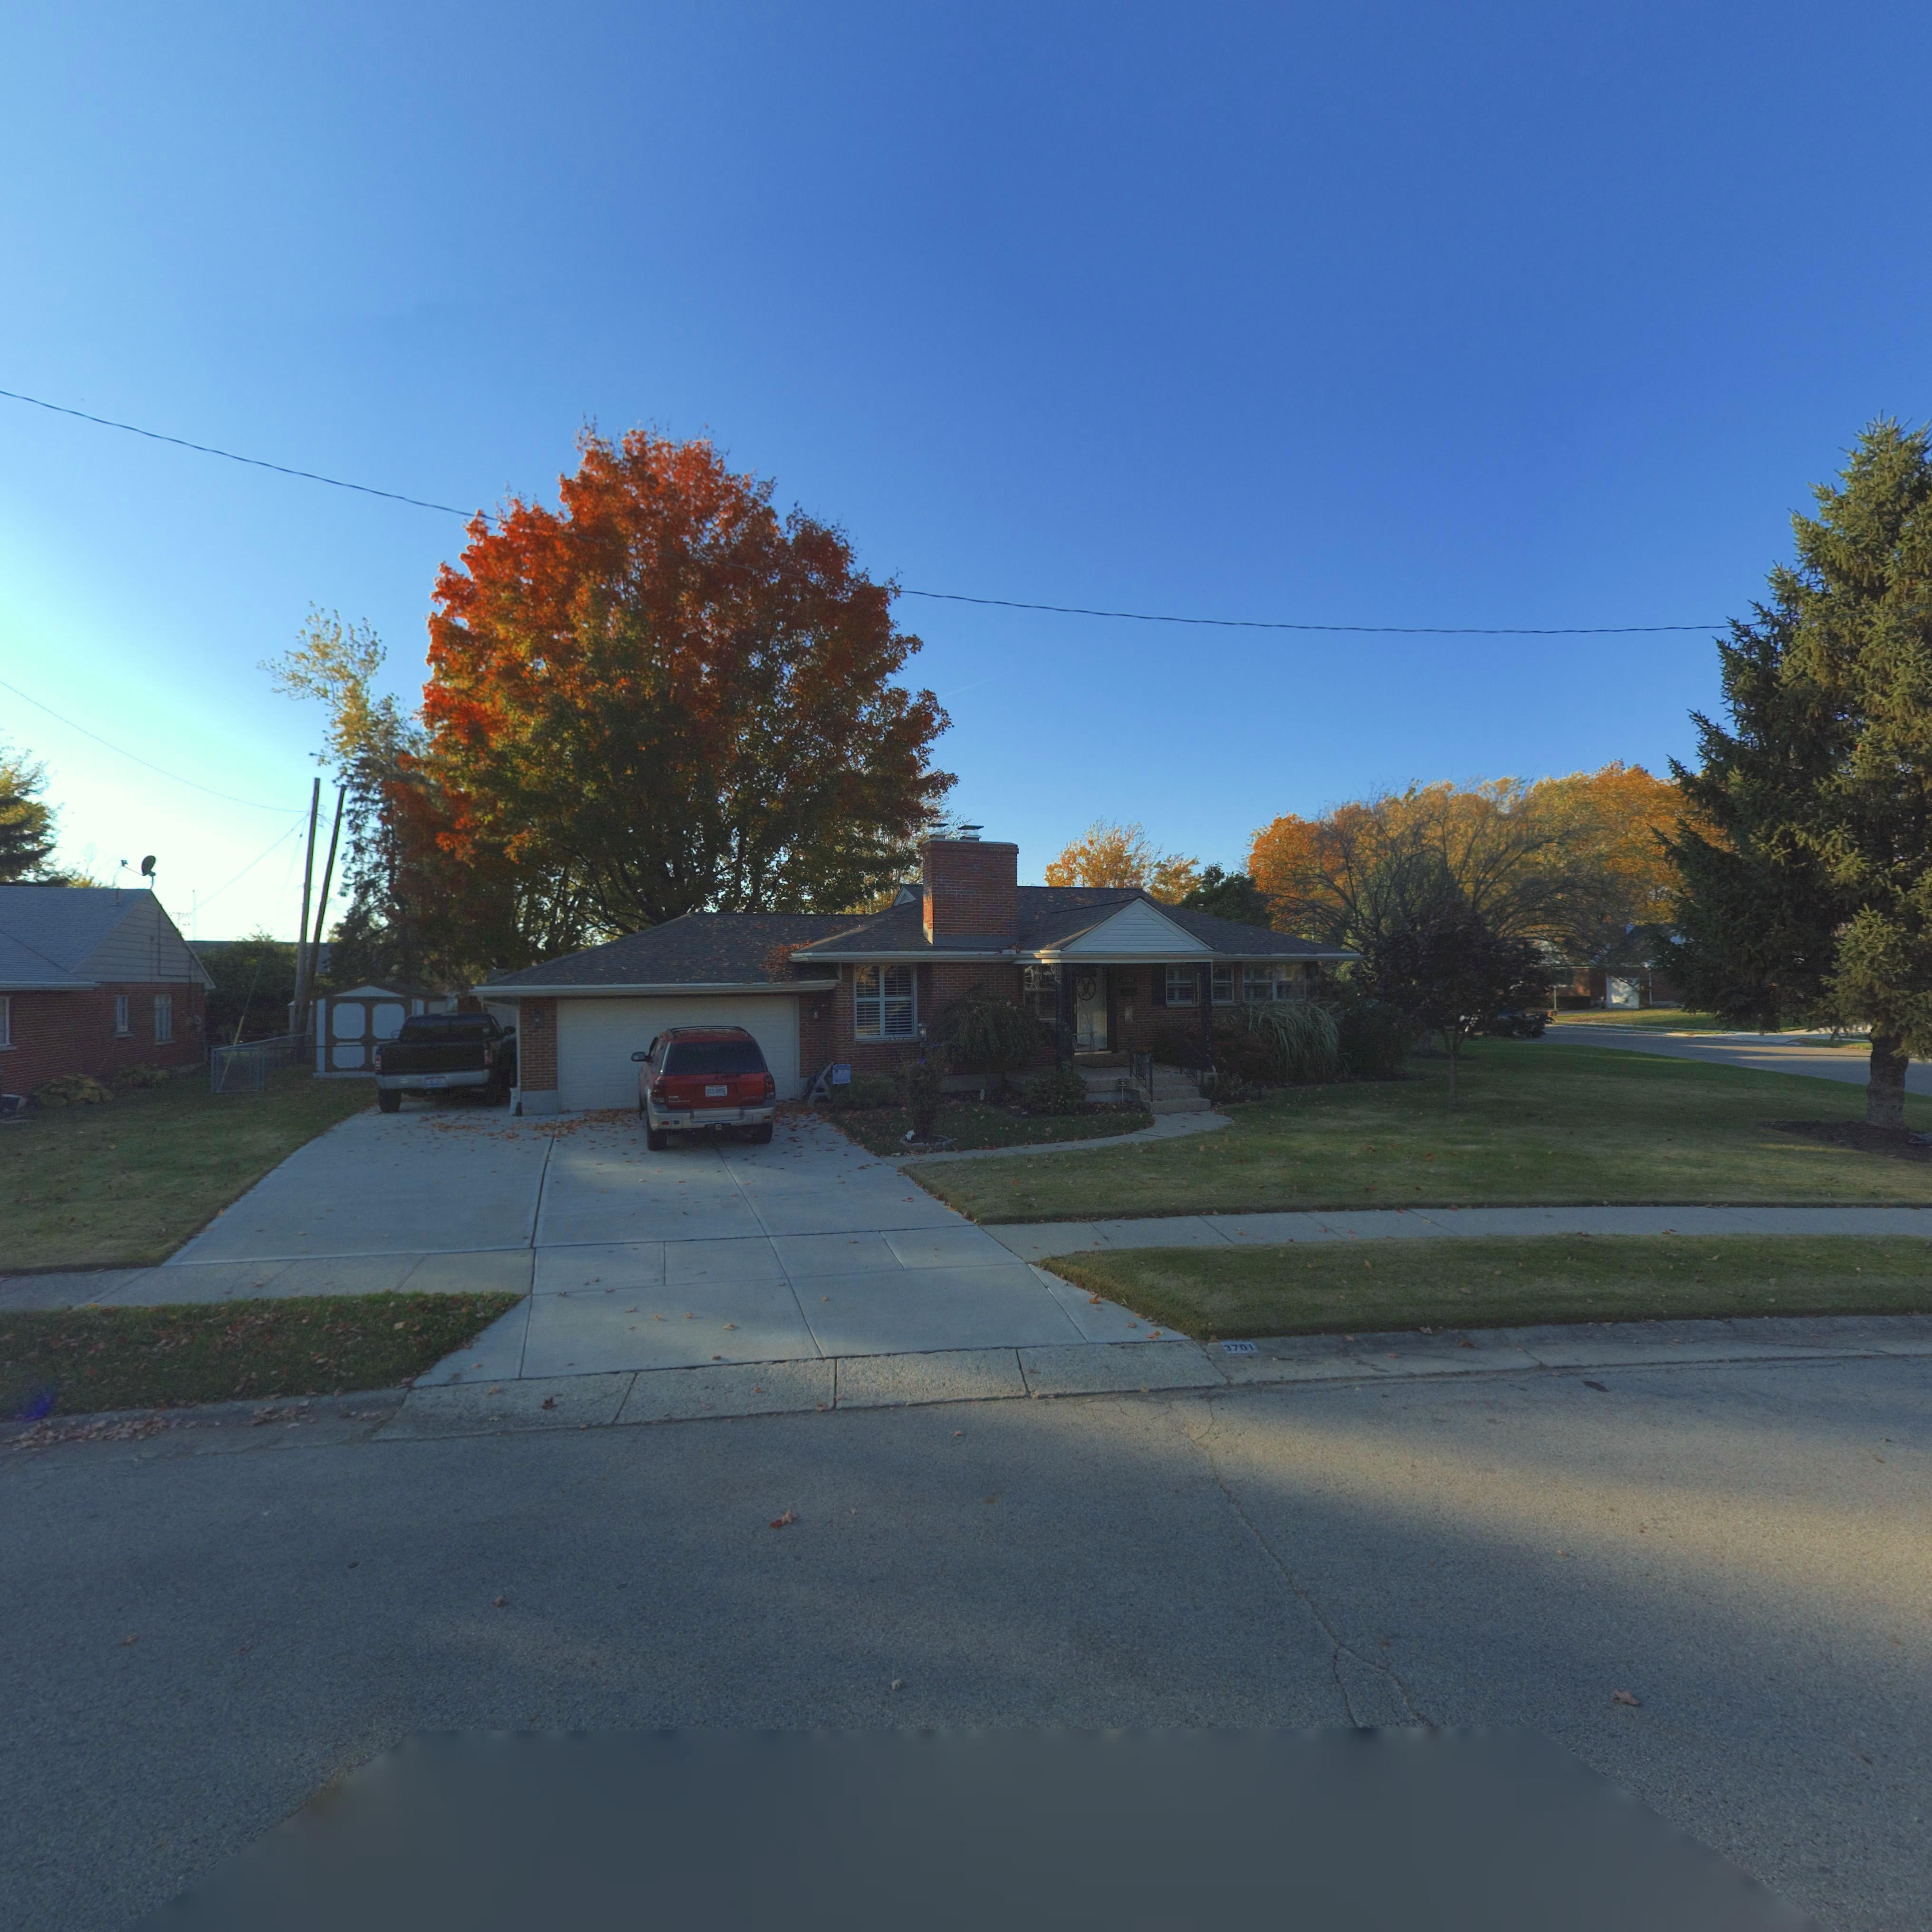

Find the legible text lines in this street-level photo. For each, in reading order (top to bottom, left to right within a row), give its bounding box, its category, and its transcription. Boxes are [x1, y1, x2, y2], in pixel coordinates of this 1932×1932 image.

[1222, 1343, 1256, 1353] StreetNumber: 3701